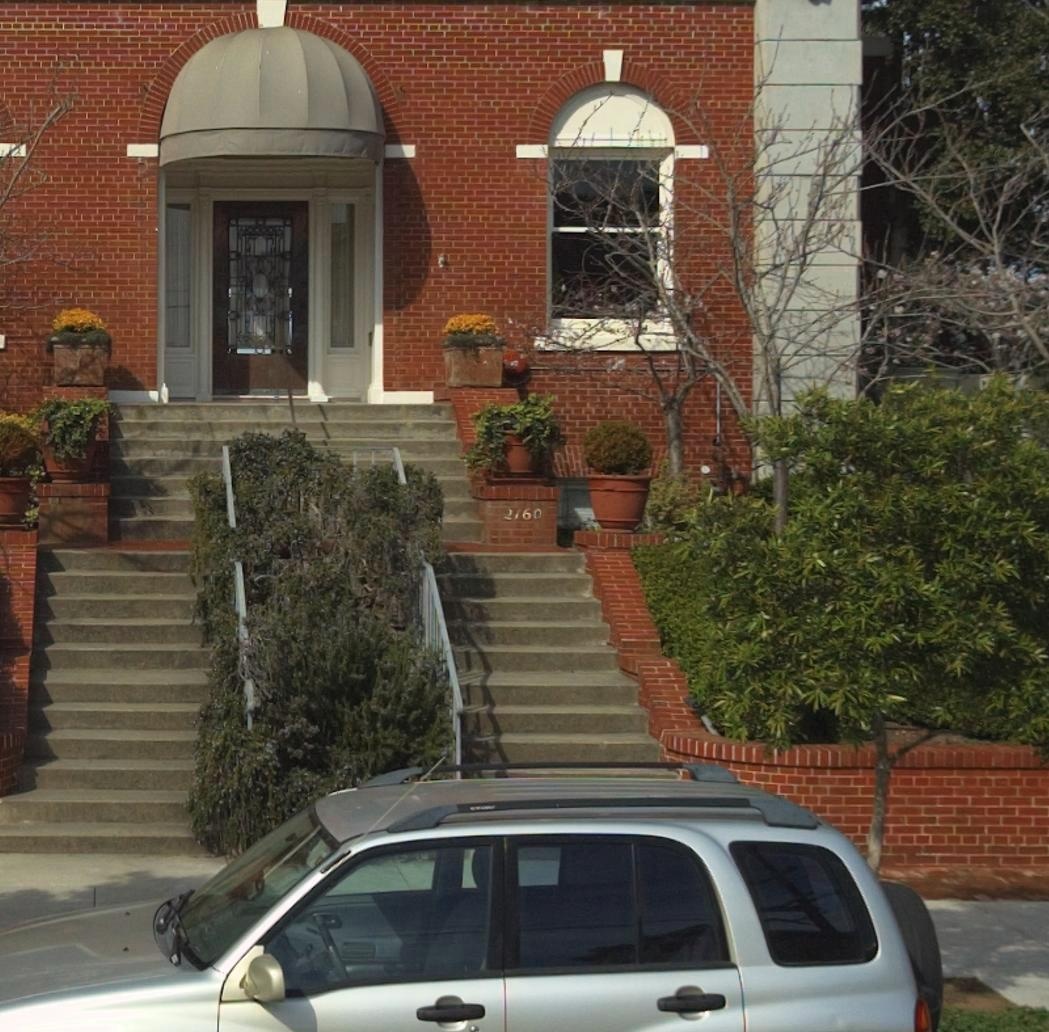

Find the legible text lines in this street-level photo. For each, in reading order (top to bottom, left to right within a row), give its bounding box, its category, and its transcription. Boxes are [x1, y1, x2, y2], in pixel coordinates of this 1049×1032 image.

[500, 506, 544, 523] StreetNumber: 2160